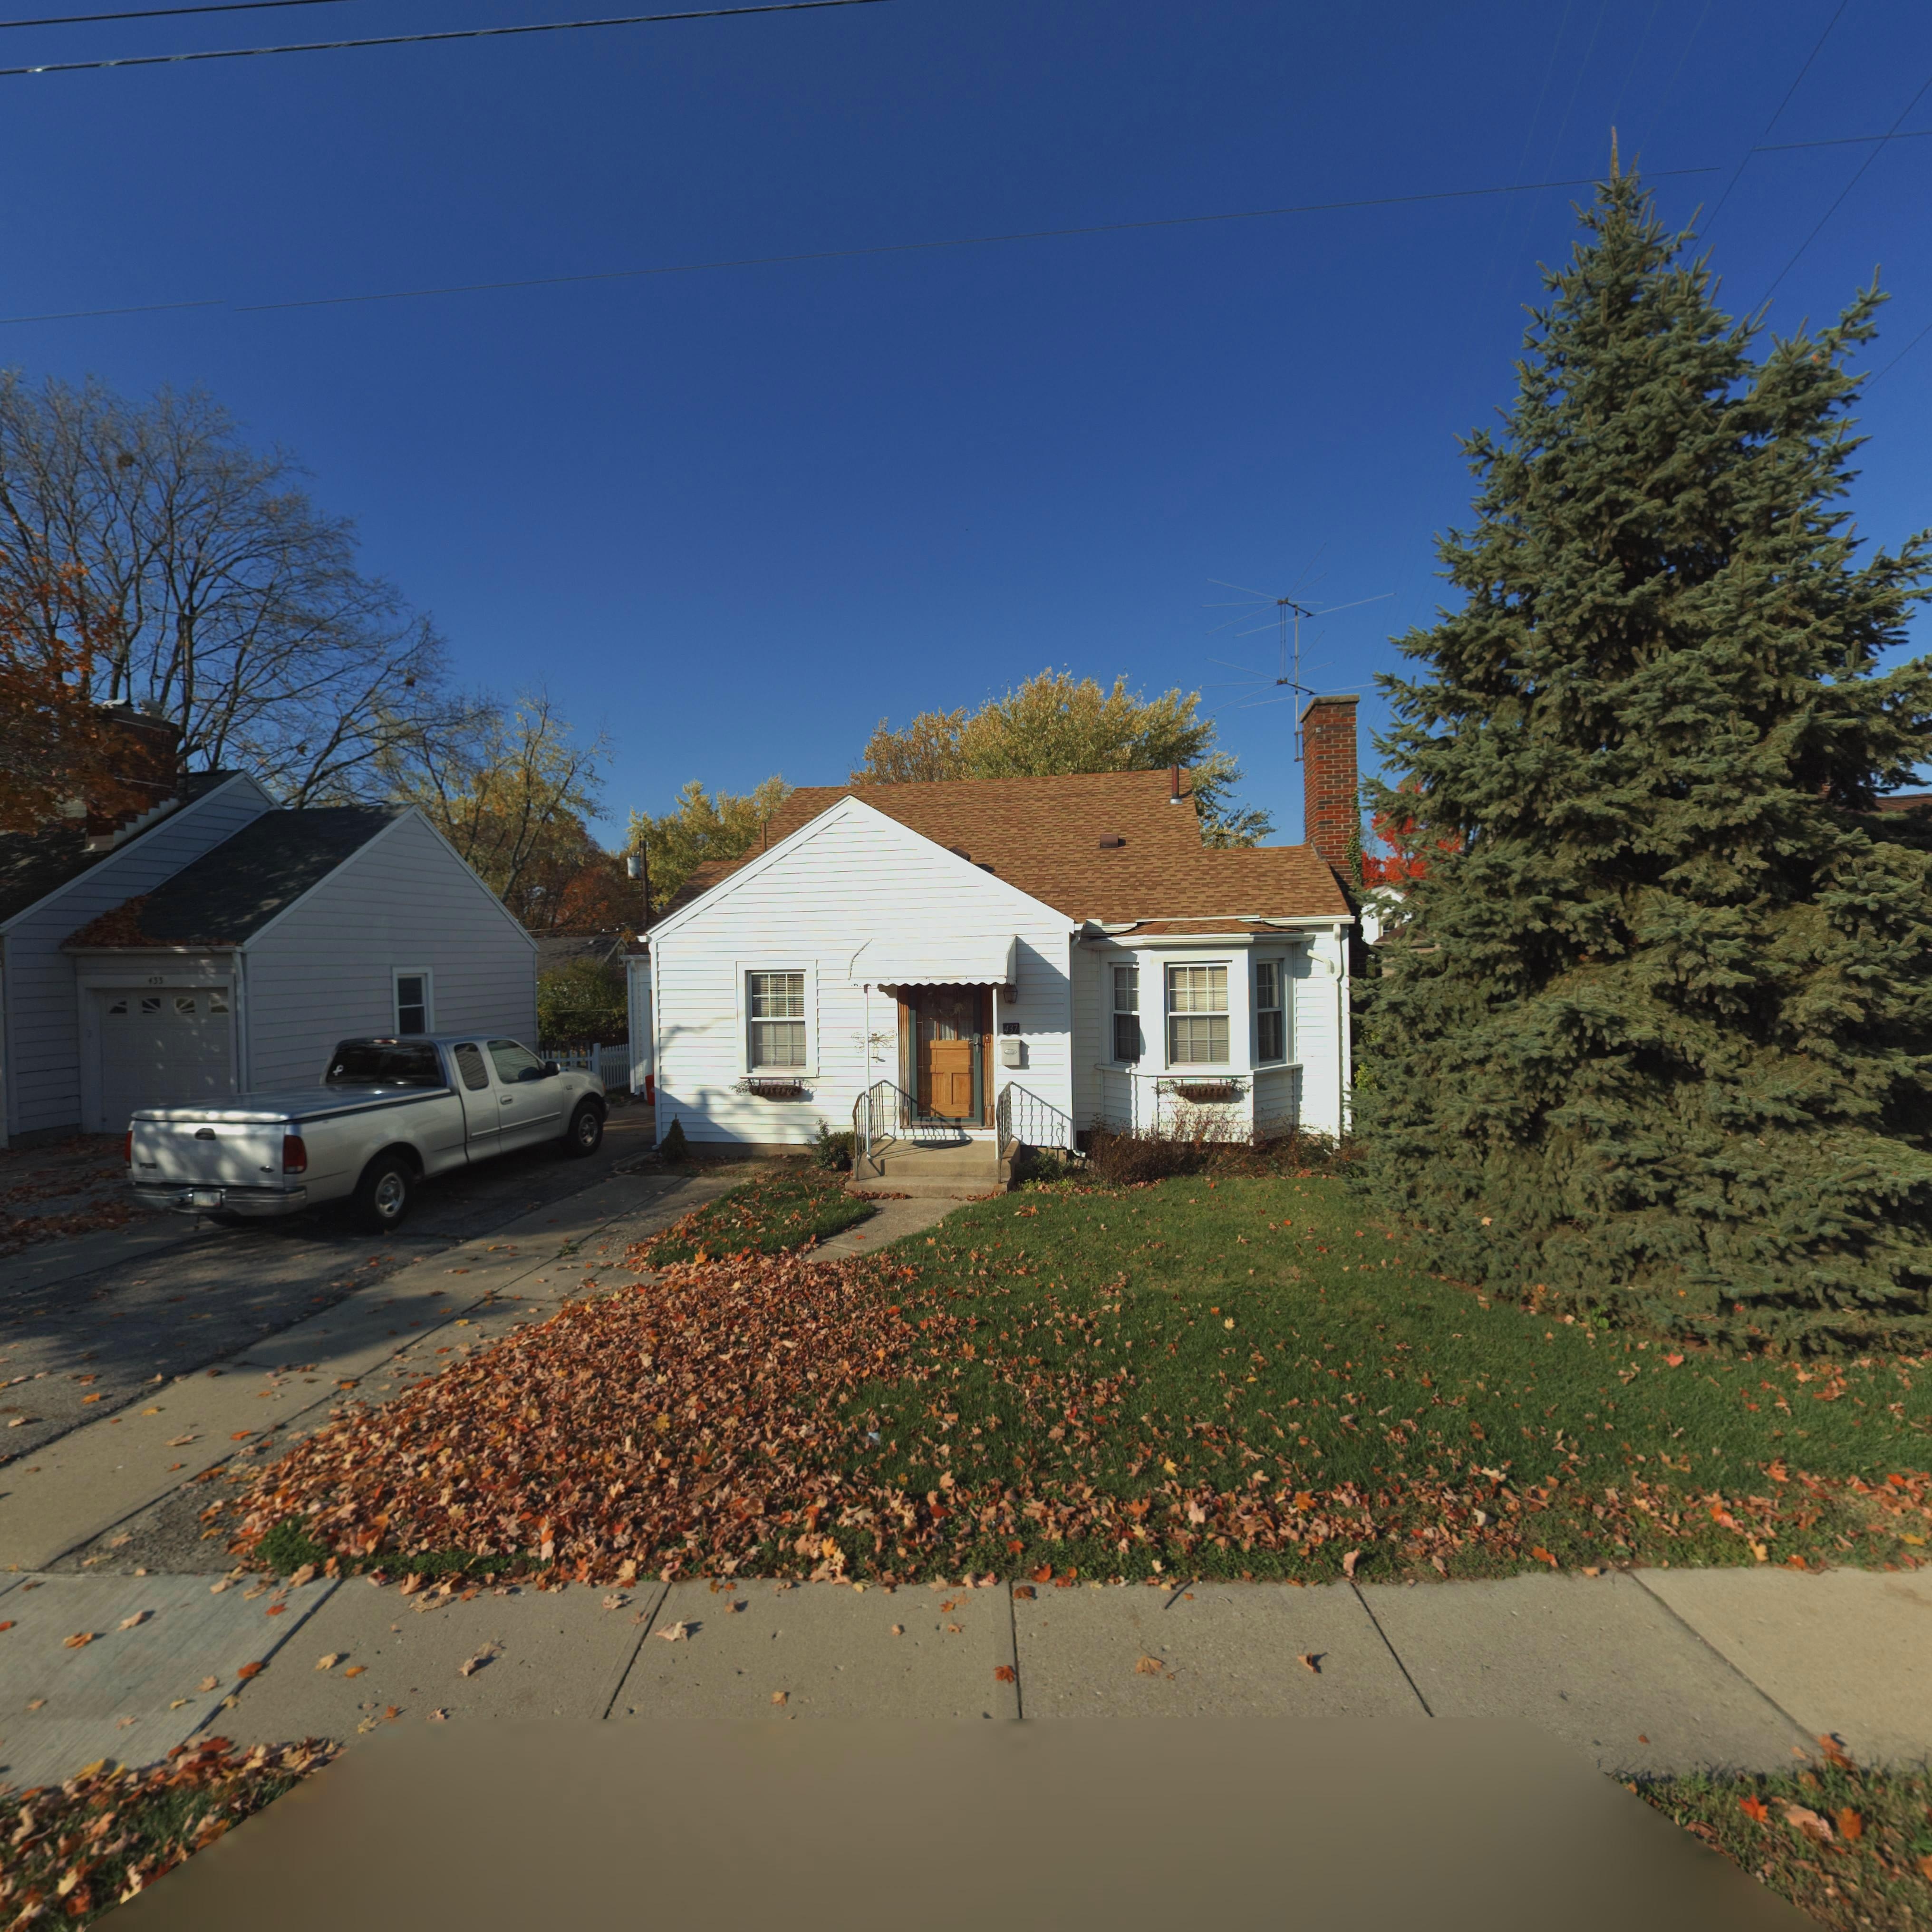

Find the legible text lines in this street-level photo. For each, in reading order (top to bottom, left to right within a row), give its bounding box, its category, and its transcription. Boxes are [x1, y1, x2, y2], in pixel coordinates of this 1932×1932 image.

[147, 976, 164, 985] StreetNumber: 433
[1003, 1024, 1019, 1034] StreetNumber: 437